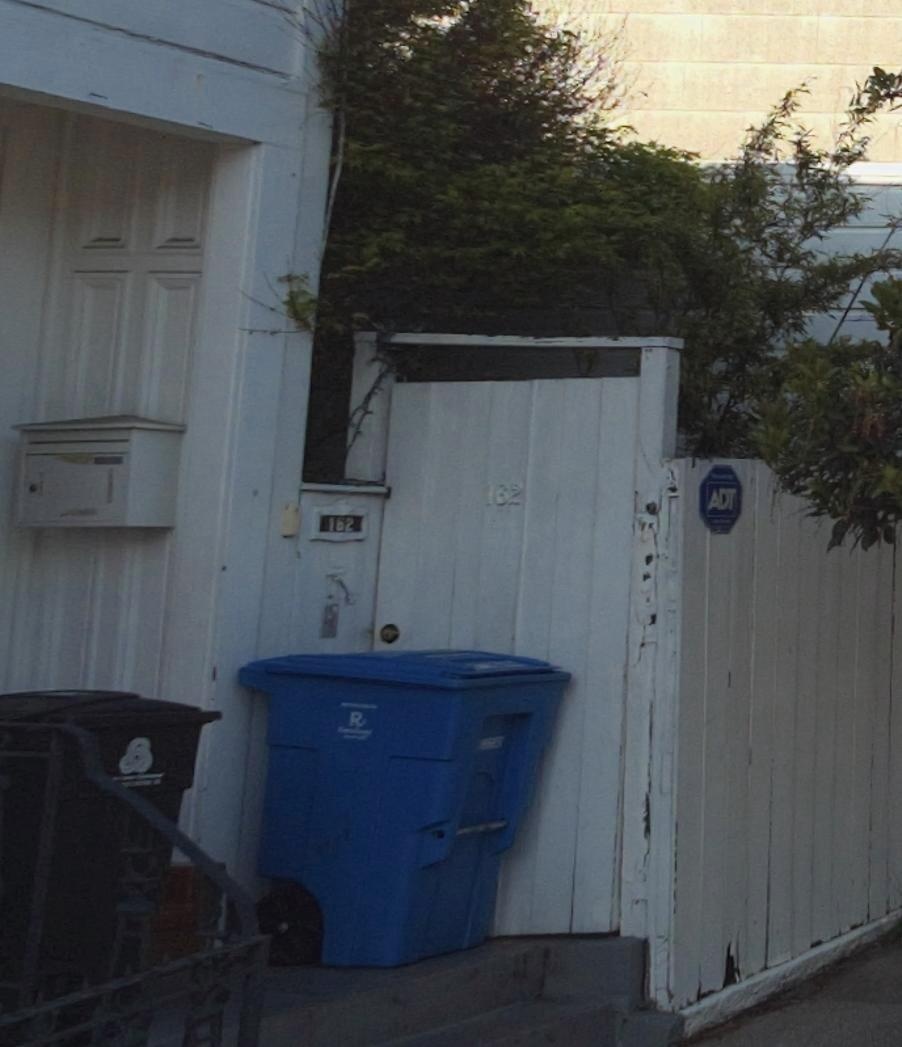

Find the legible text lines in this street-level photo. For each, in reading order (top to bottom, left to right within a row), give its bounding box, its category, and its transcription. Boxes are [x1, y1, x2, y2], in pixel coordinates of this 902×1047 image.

[484, 480, 525, 510] StreetNumber: 162
[704, 486, 739, 513] None: ADT
[327, 514, 355, 534] StreetNumber: 162
[347, 709, 369, 730] None: R